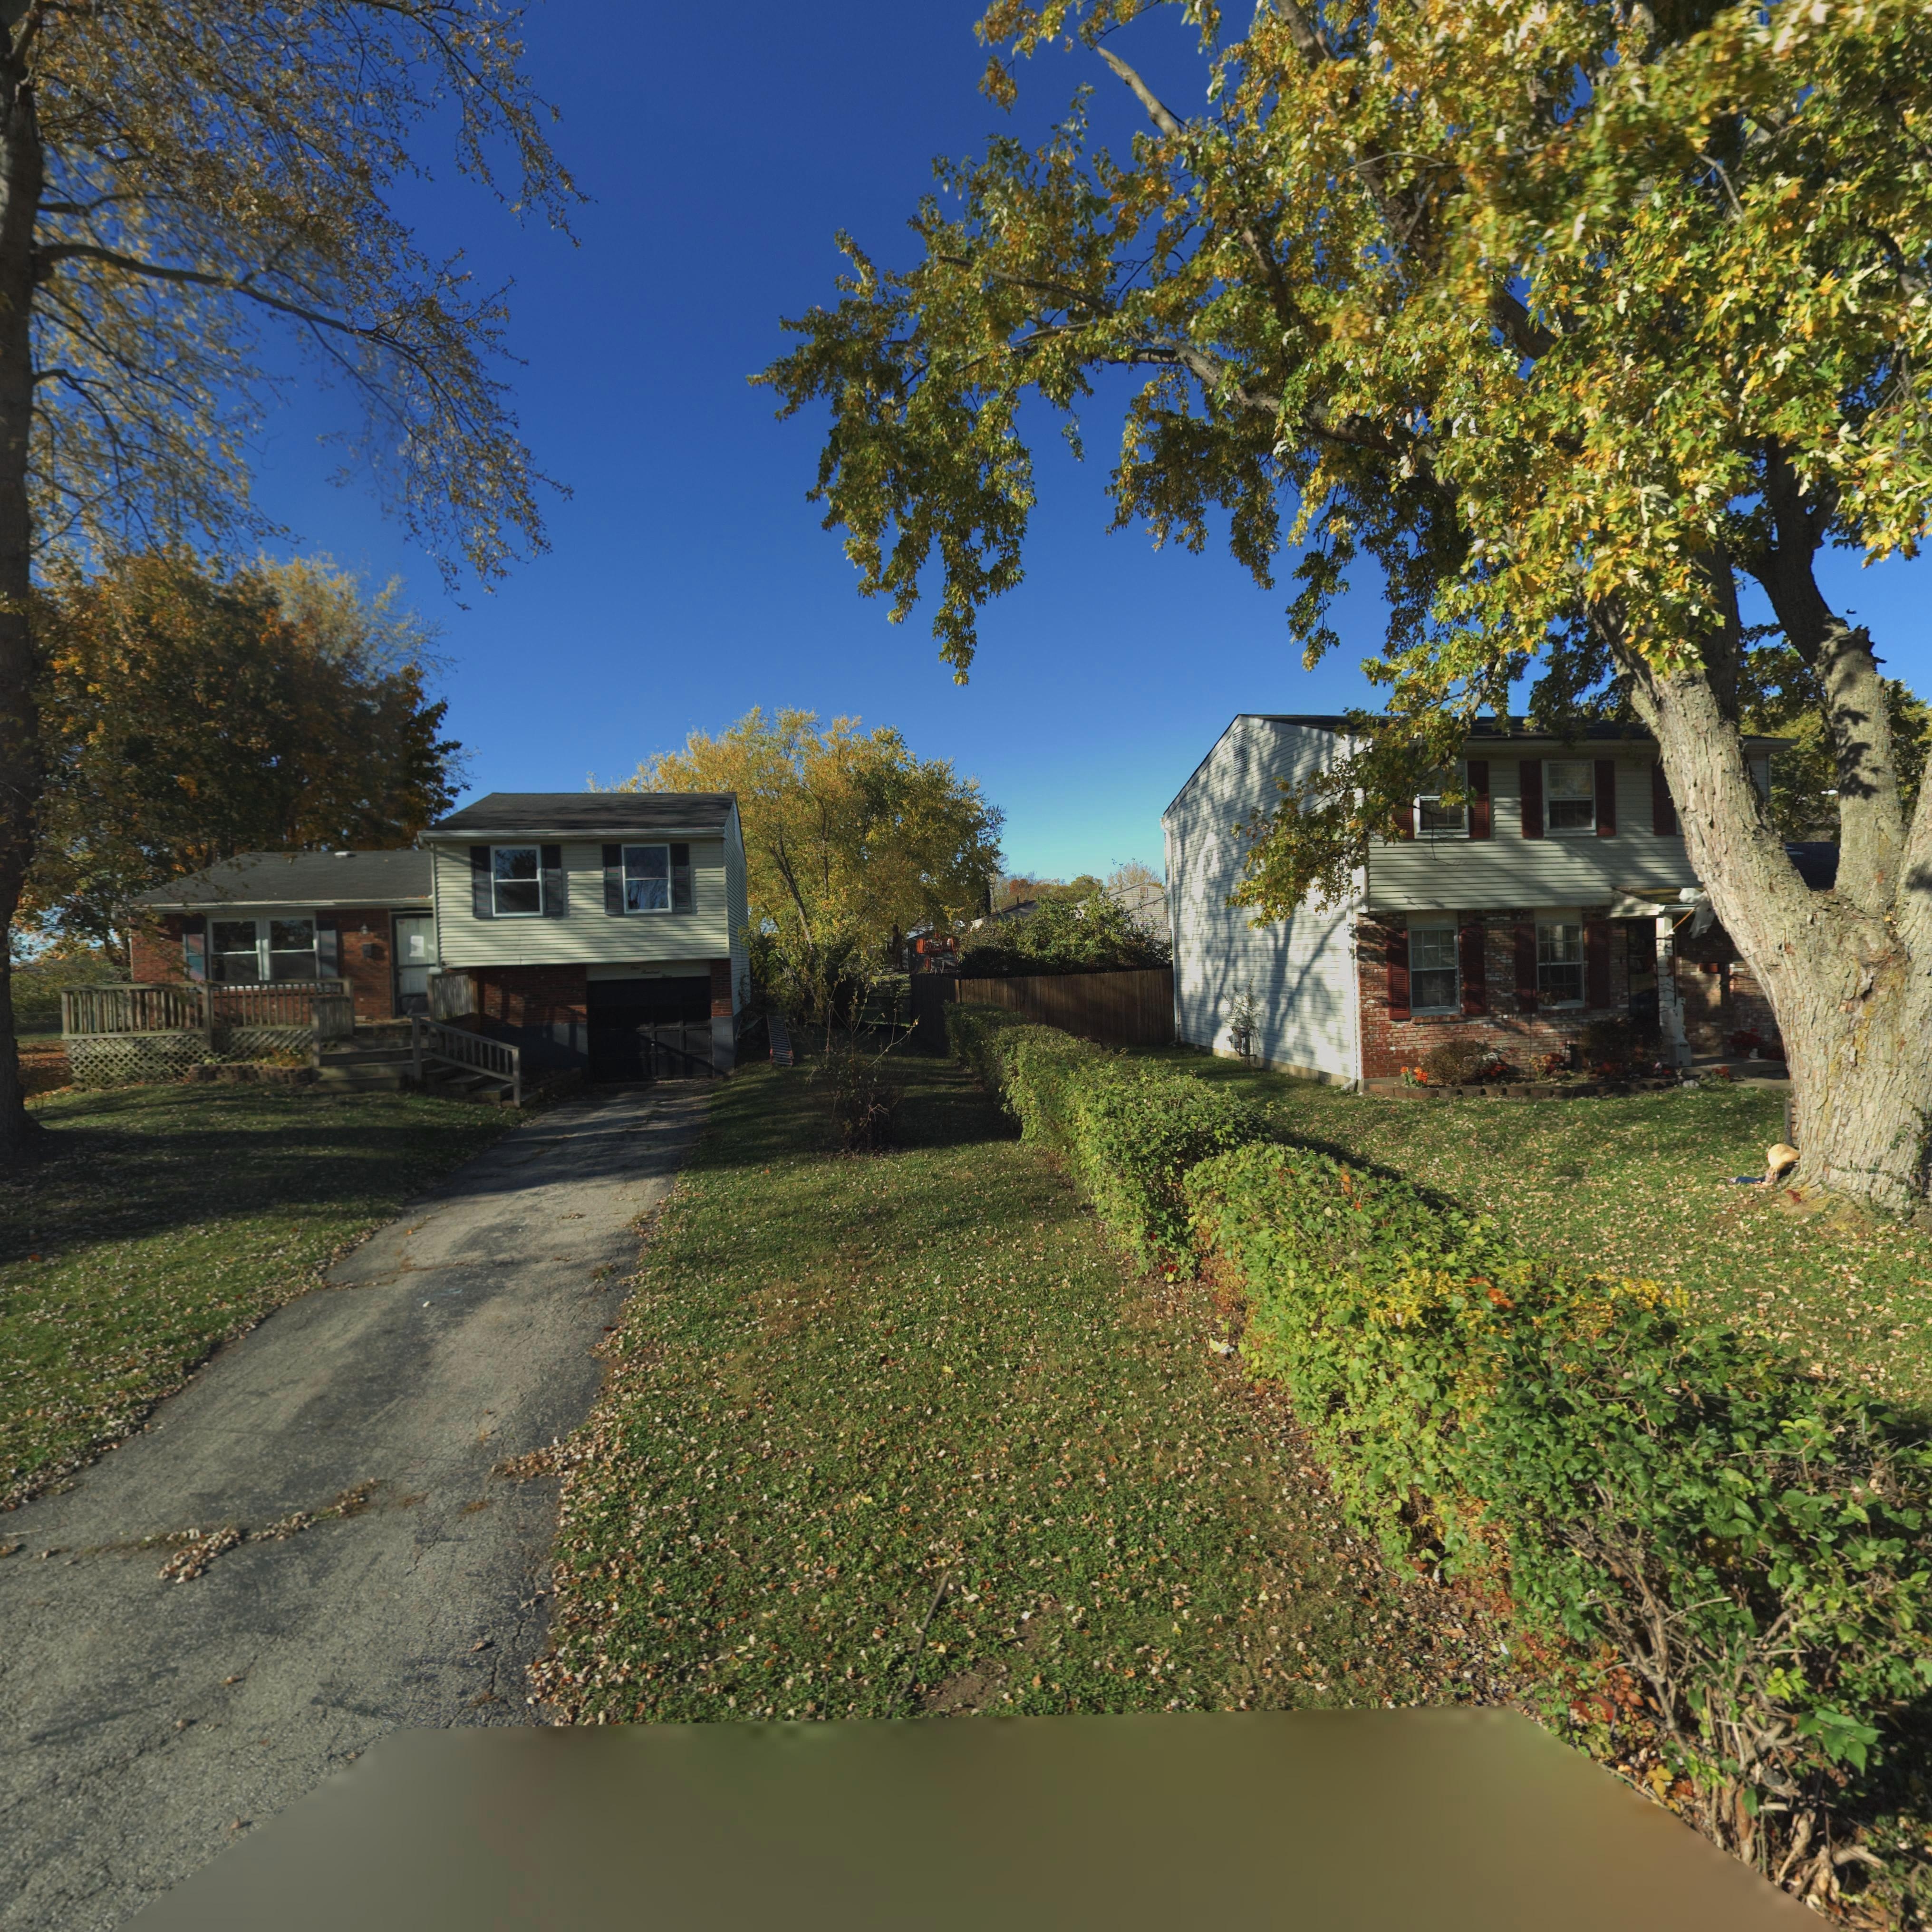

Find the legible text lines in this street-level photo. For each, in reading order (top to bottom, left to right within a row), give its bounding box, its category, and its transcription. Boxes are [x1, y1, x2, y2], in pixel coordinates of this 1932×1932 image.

[1664, 942, 1673, 949] StreetNumber: *0*
[630, 964, 640, 971] StreetNumber: One
[640, 969, 647, 975] StreetNumber: H